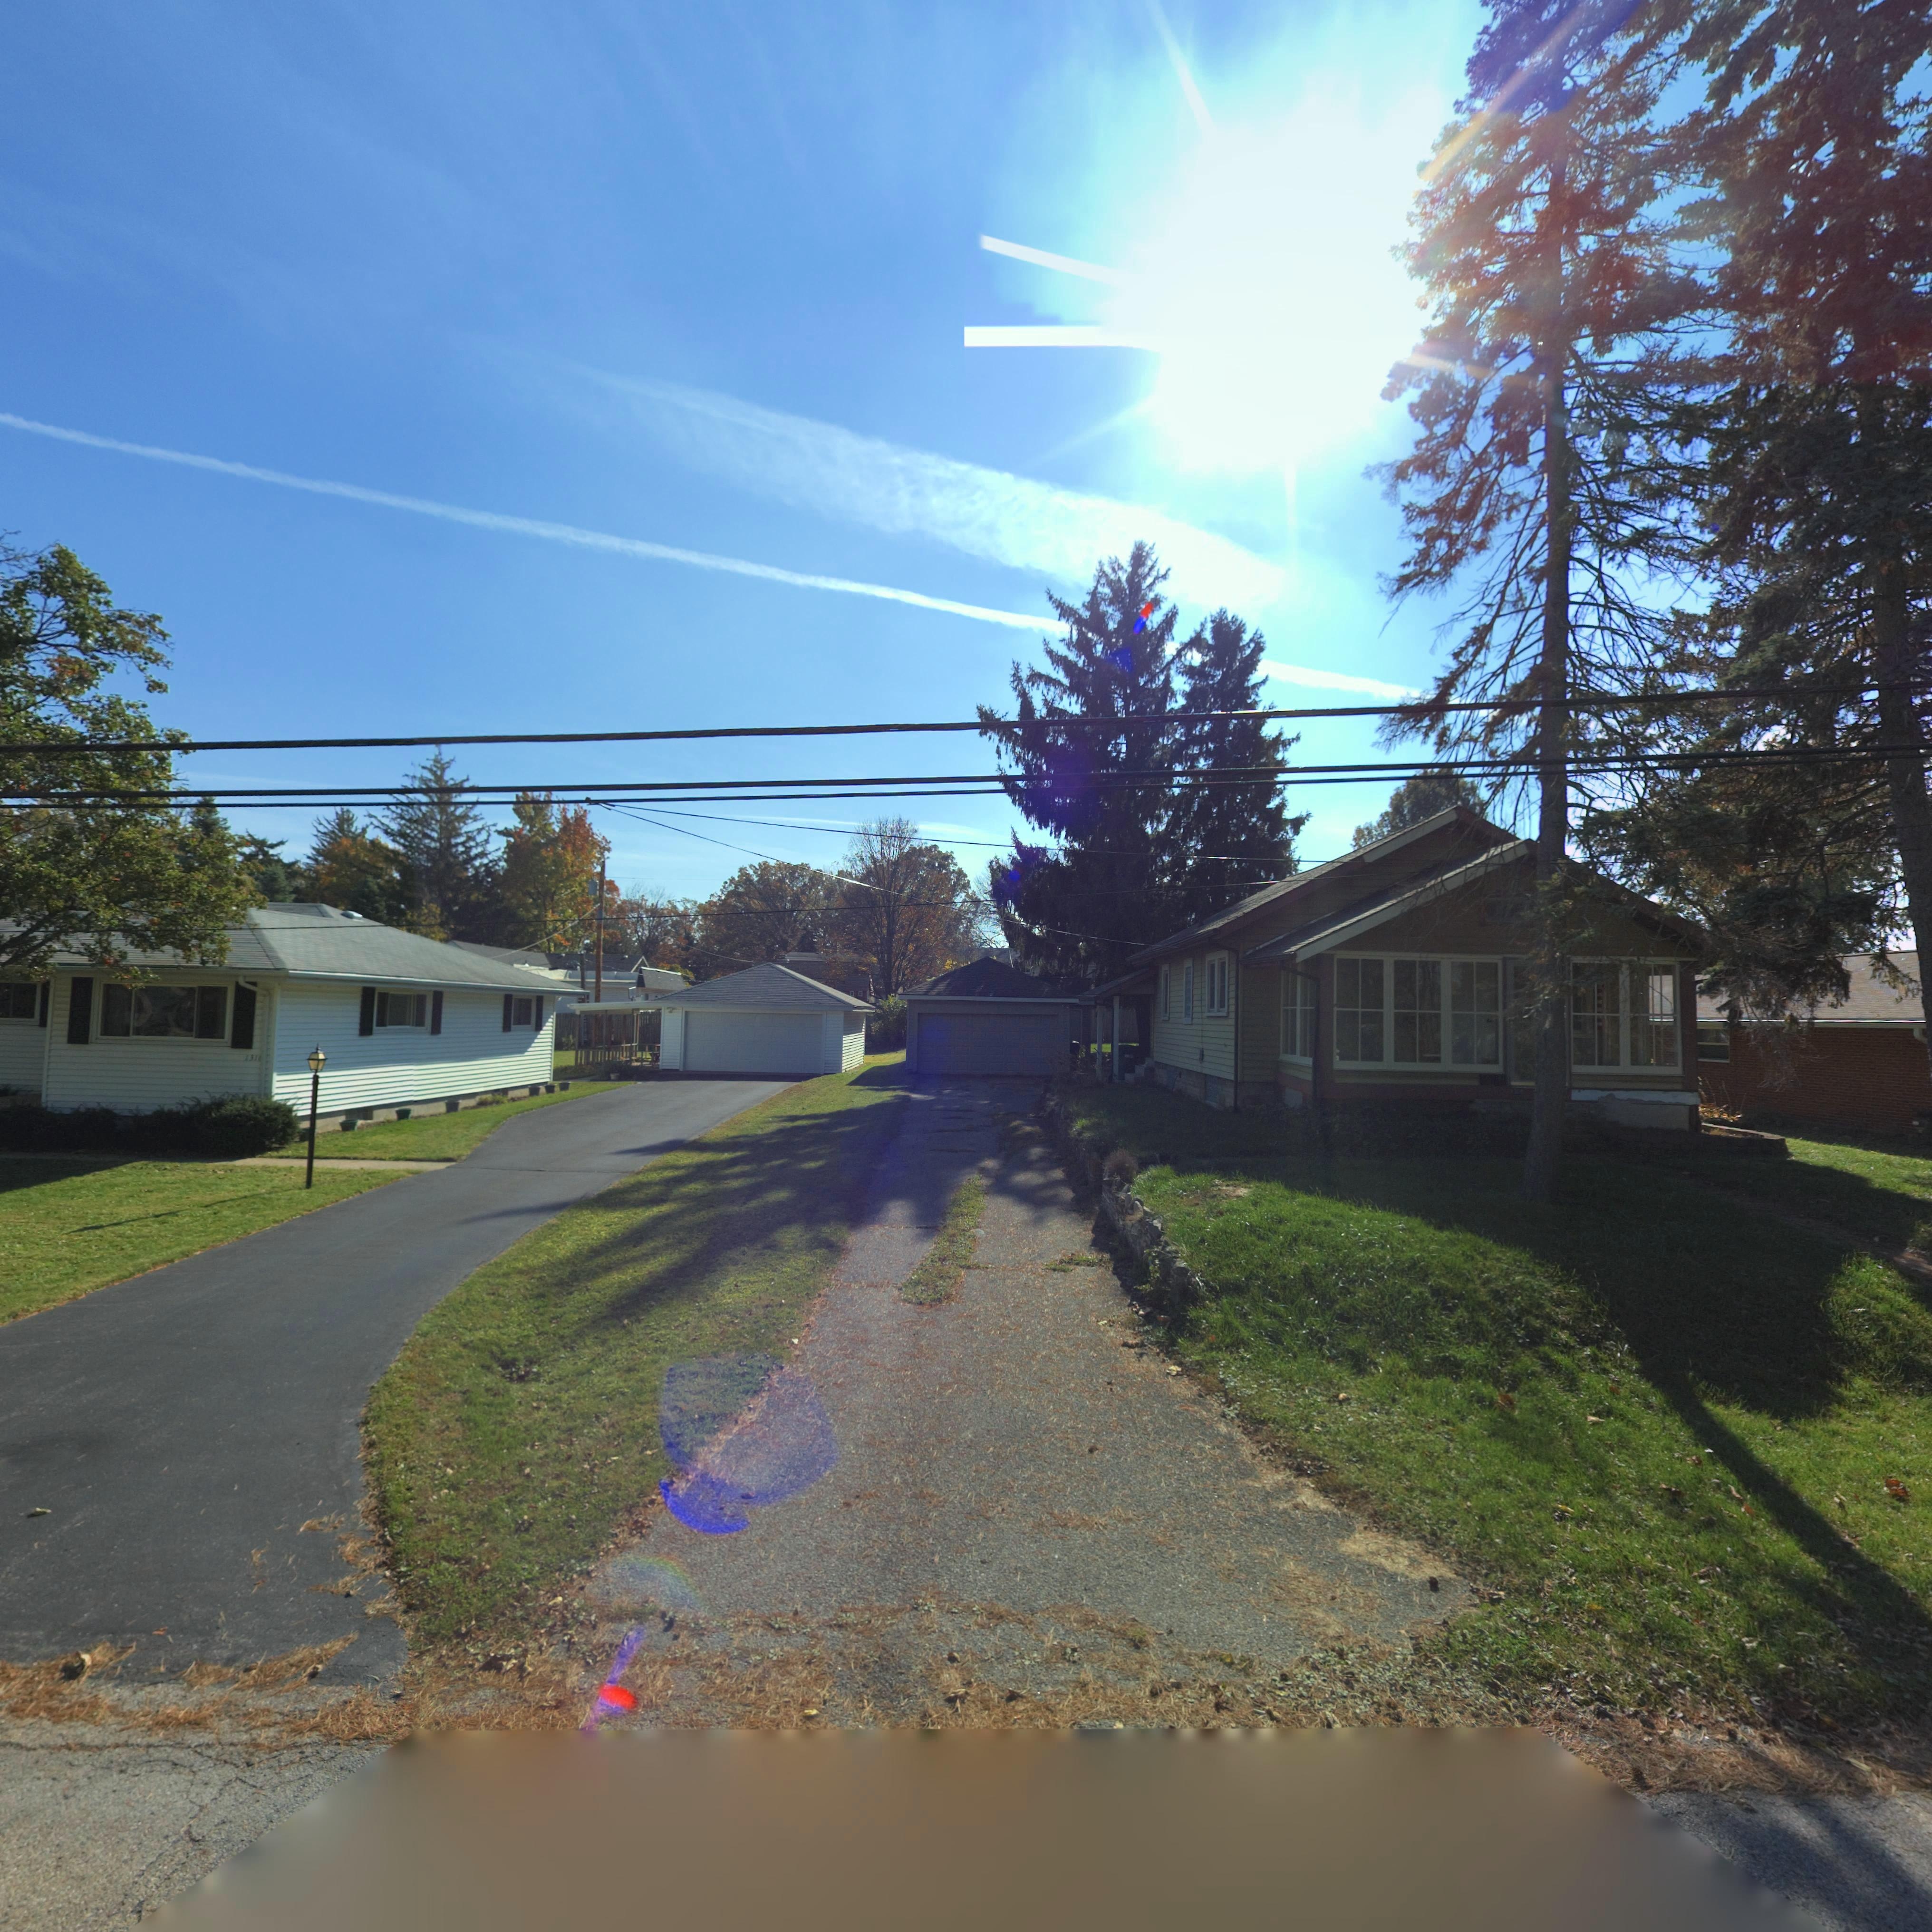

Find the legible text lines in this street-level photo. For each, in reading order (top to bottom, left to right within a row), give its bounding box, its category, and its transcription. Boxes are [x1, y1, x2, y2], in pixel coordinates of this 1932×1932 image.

[243, 1053, 262, 1061] StreetNumber: 1316
[1509, 1088, 1524, 1095] StreetNumber: 1308